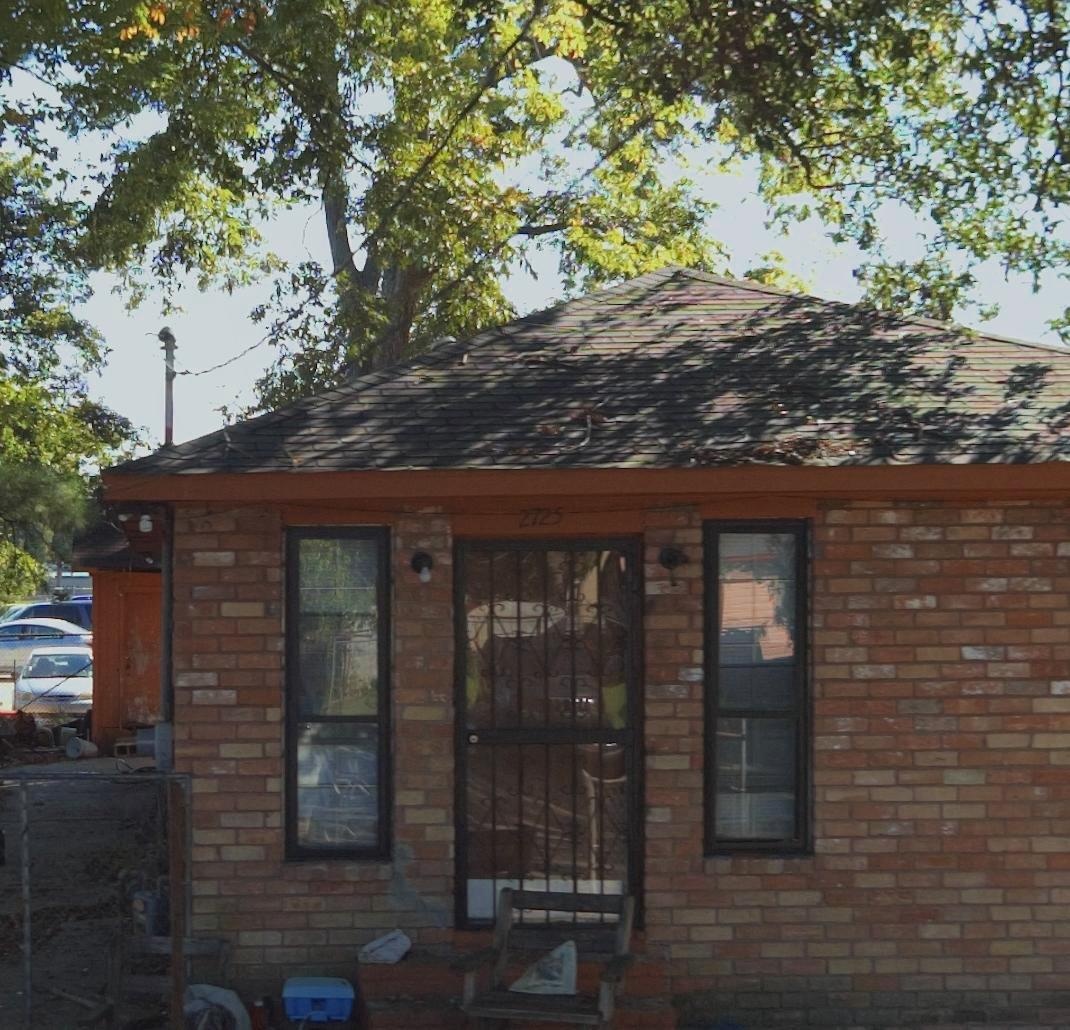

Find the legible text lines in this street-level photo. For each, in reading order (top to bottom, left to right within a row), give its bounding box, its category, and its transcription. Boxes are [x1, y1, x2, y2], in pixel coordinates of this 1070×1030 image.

[515, 504, 566, 533] StreetNumber: 2725